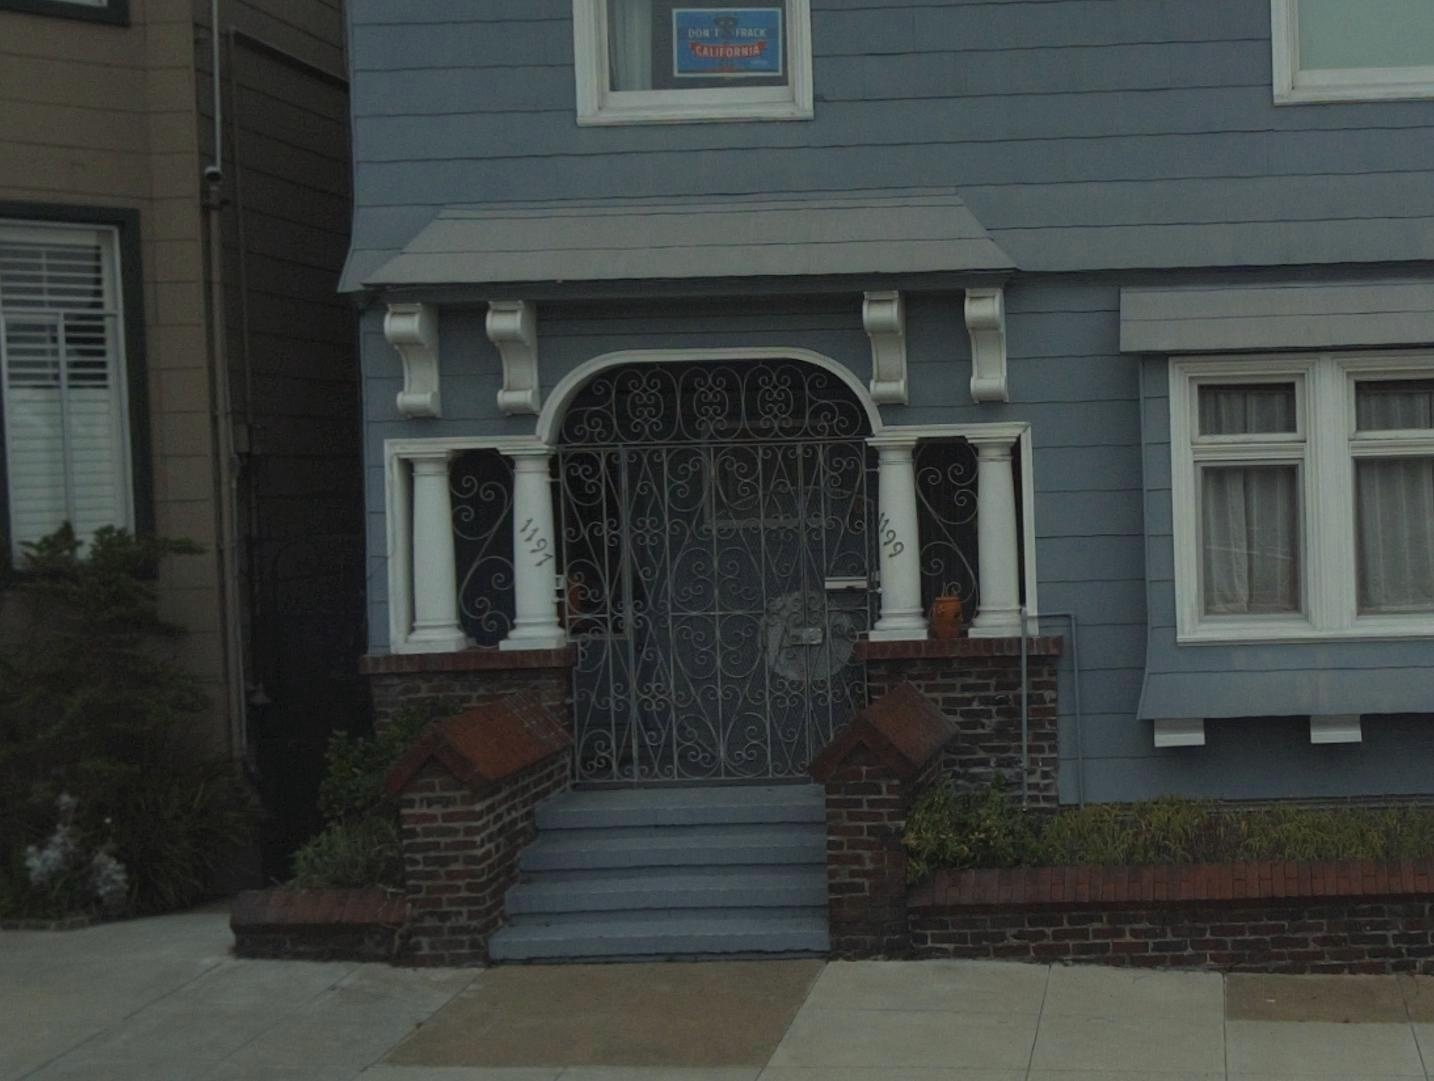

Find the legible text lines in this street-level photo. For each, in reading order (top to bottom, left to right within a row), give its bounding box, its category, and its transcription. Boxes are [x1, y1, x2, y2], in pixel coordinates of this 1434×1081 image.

[687, 26, 769, 39] None: DON'T FRACK
[693, 43, 763, 59] None: CALIFORNIA
[516, 513, 558, 571] StreetNumber: 1197
[876, 507, 909, 563] StreetNumber: 1199